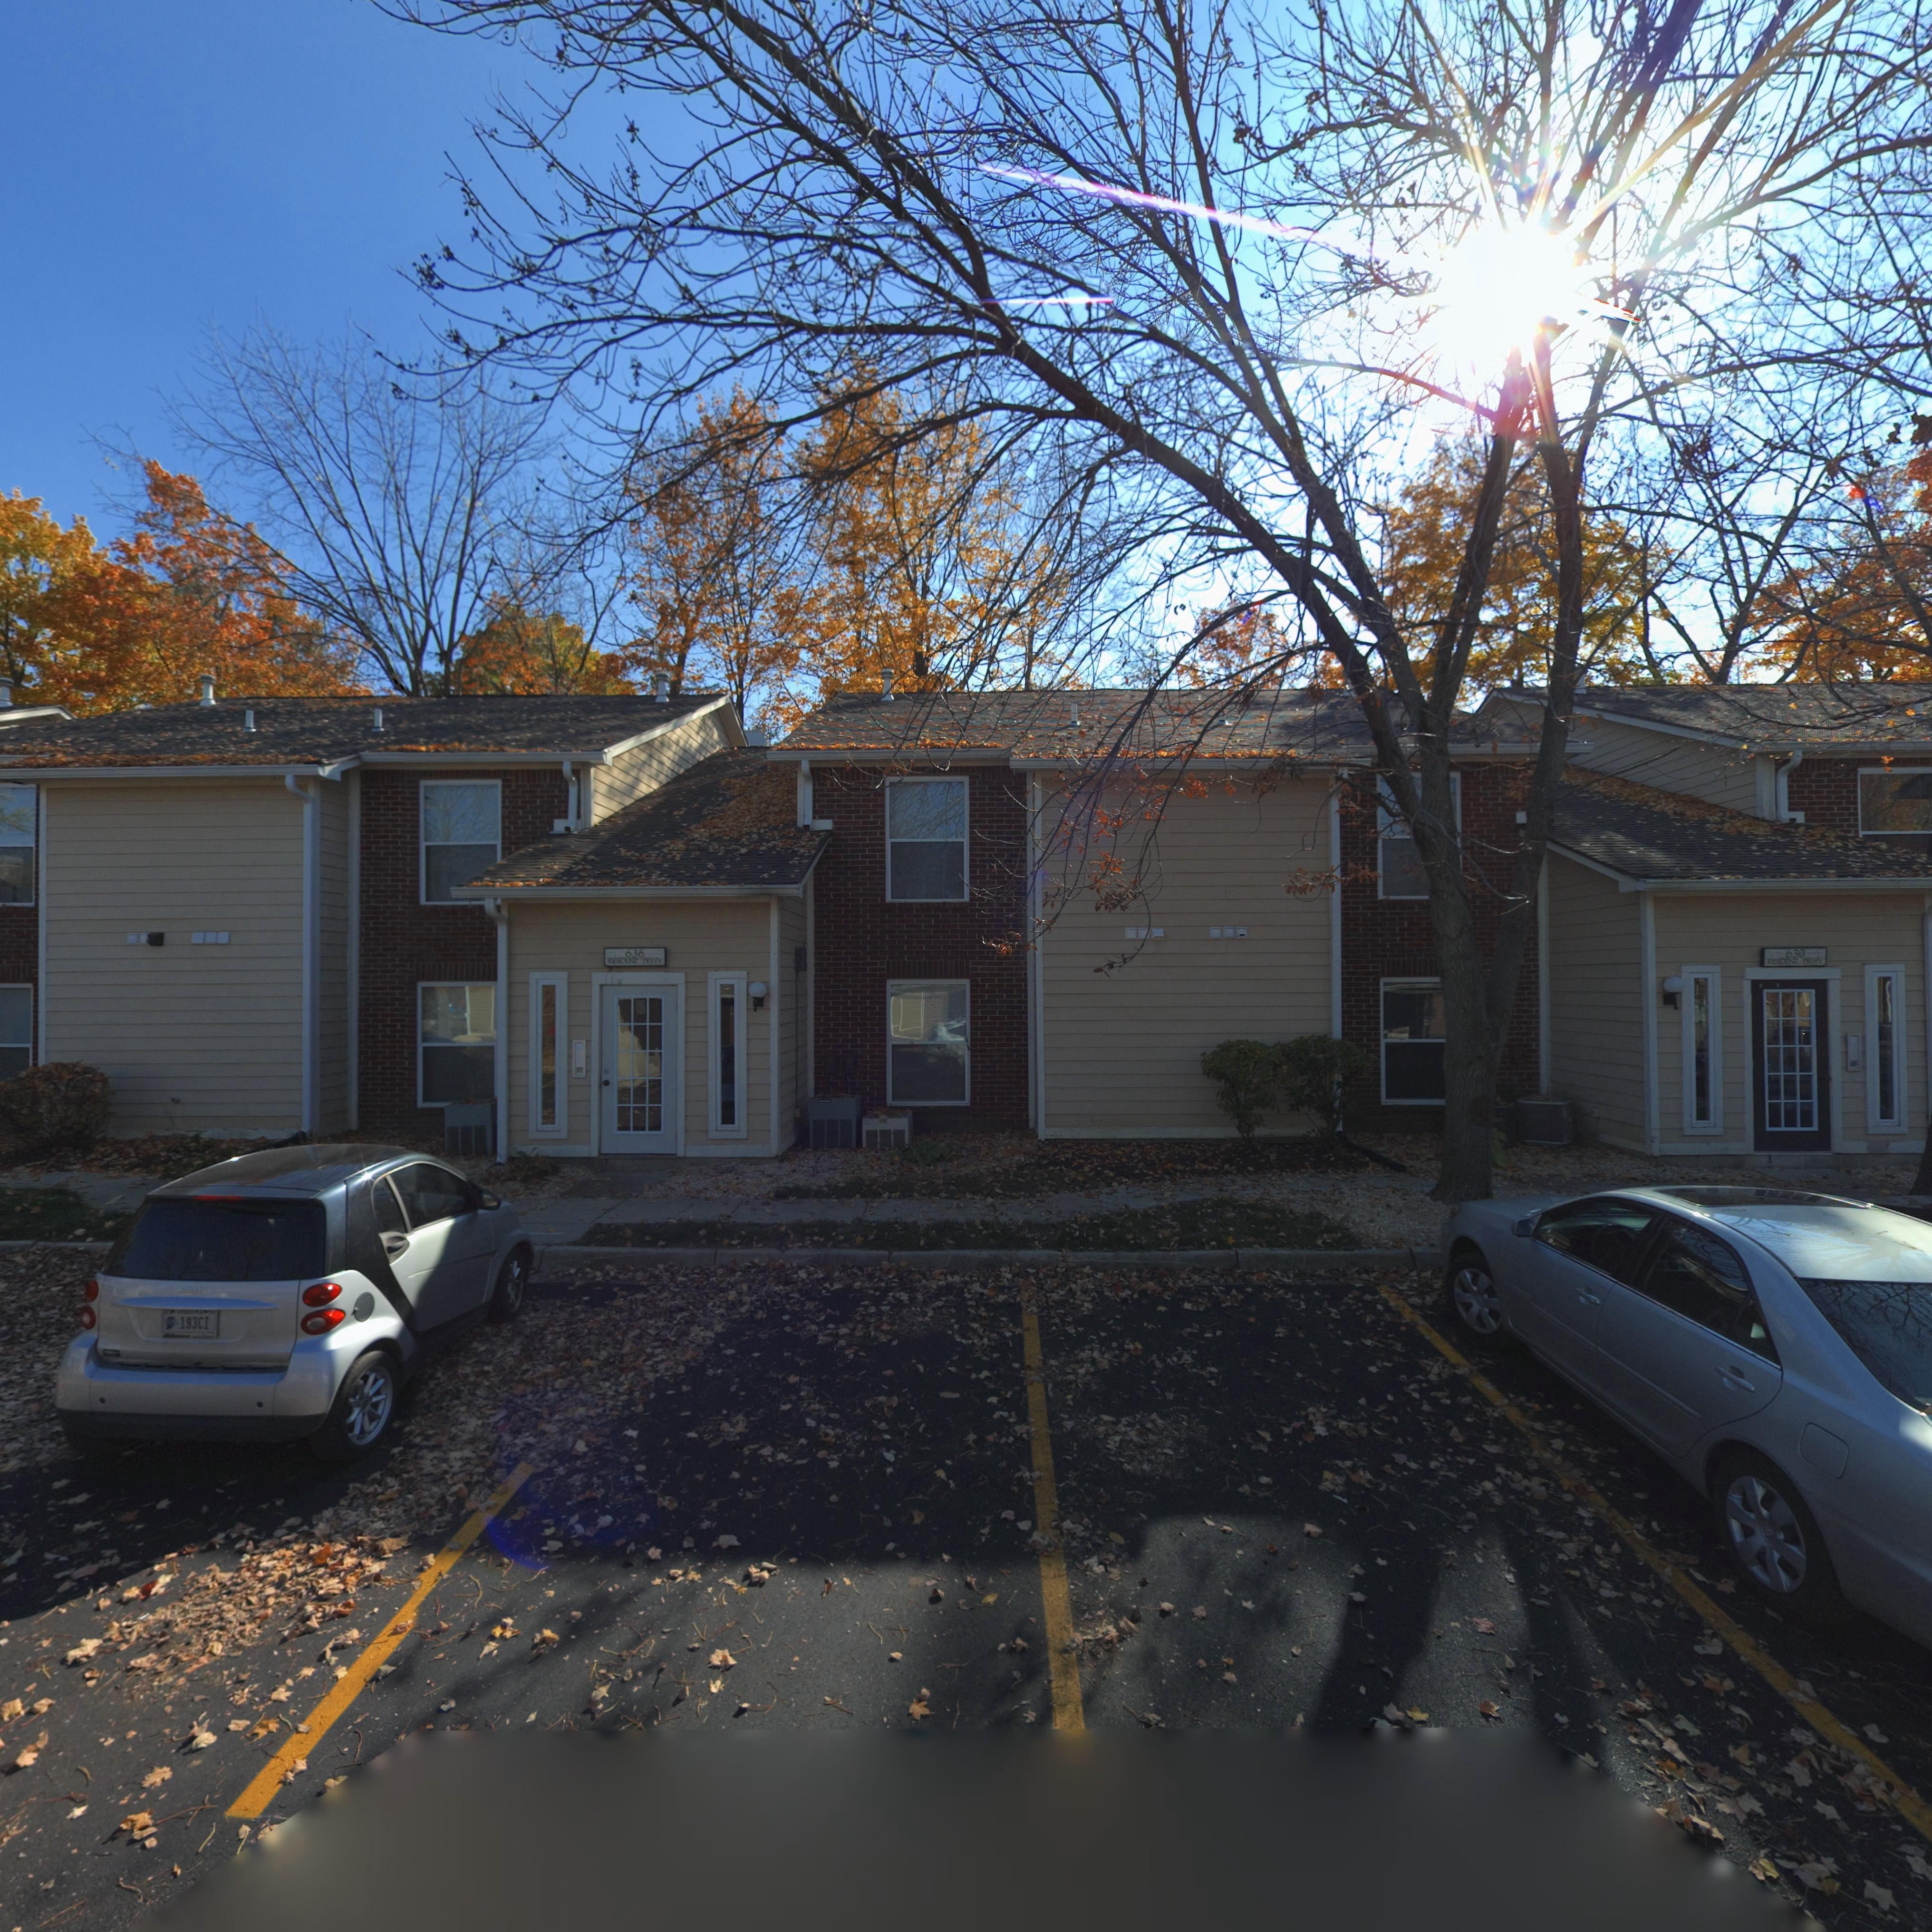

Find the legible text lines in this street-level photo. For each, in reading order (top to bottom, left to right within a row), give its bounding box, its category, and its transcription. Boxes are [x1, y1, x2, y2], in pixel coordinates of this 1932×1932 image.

[625, 947, 646, 958] StreetNumber: 636
[1784, 948, 1806, 959] StreetNumber: 630
[607, 956, 664, 965] StreetName: RESIDENZ PKWY
[179, 1315, 211, 1330] None: 193CI